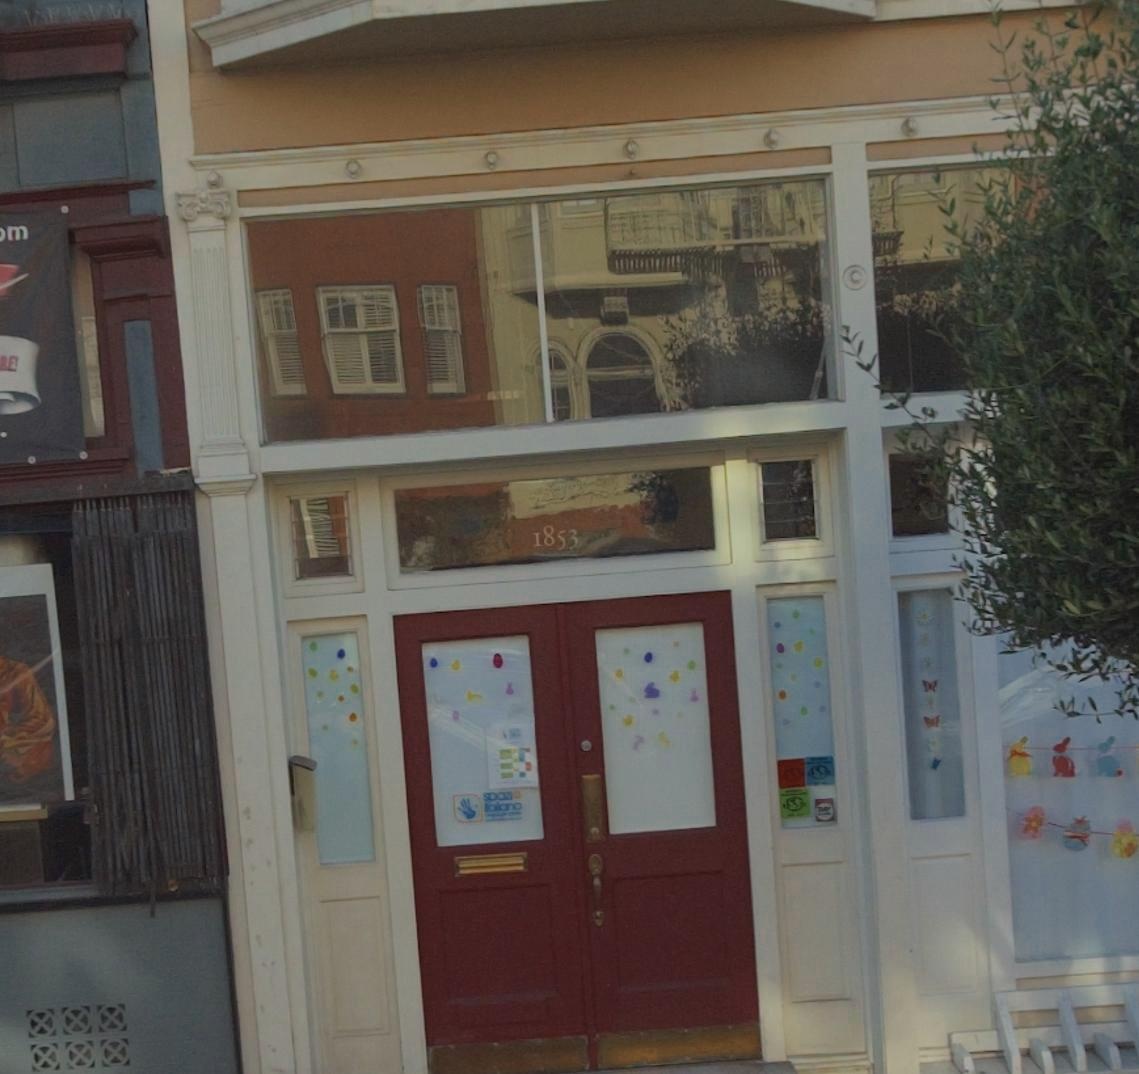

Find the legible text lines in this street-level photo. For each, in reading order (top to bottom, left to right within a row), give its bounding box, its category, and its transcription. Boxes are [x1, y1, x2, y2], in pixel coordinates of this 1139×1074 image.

[5, 222, 30, 244] None: m
[528, 521, 581, 552] StreetNumber: 1853